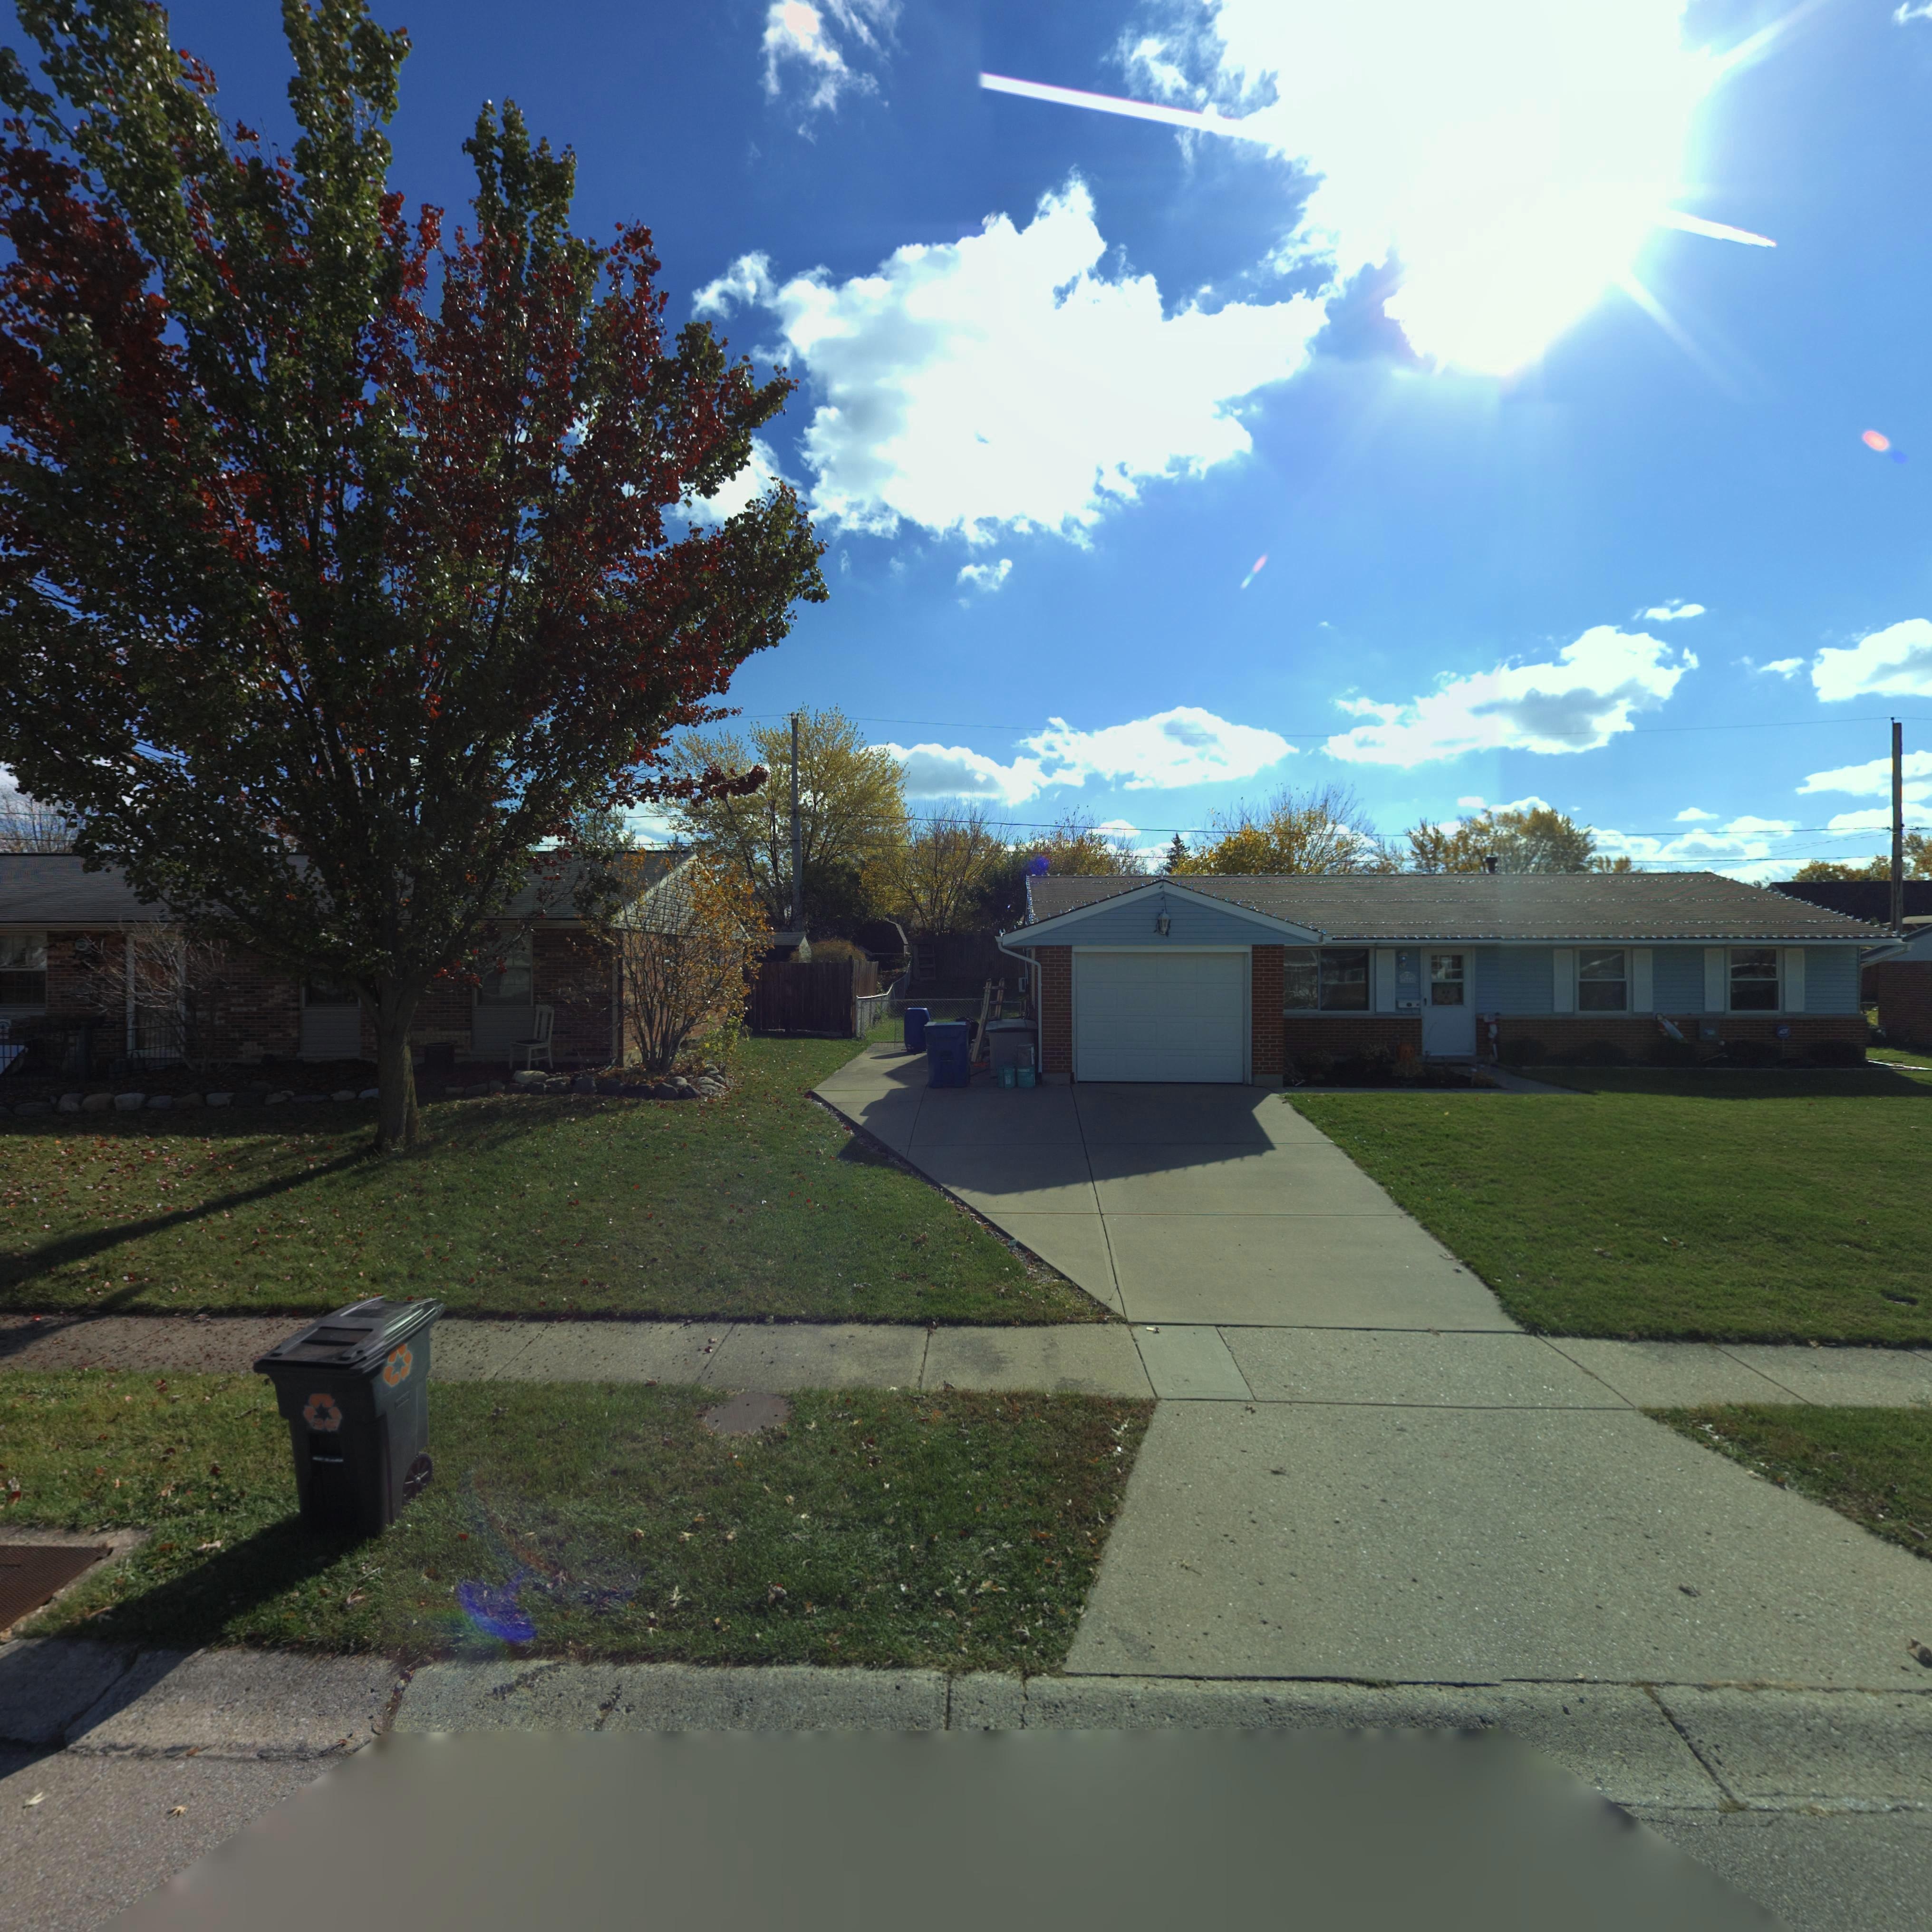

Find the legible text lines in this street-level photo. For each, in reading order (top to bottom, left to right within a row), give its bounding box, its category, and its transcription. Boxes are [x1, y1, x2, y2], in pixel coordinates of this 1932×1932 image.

[1401, 977, 1413, 982] StreetNumber: 7***